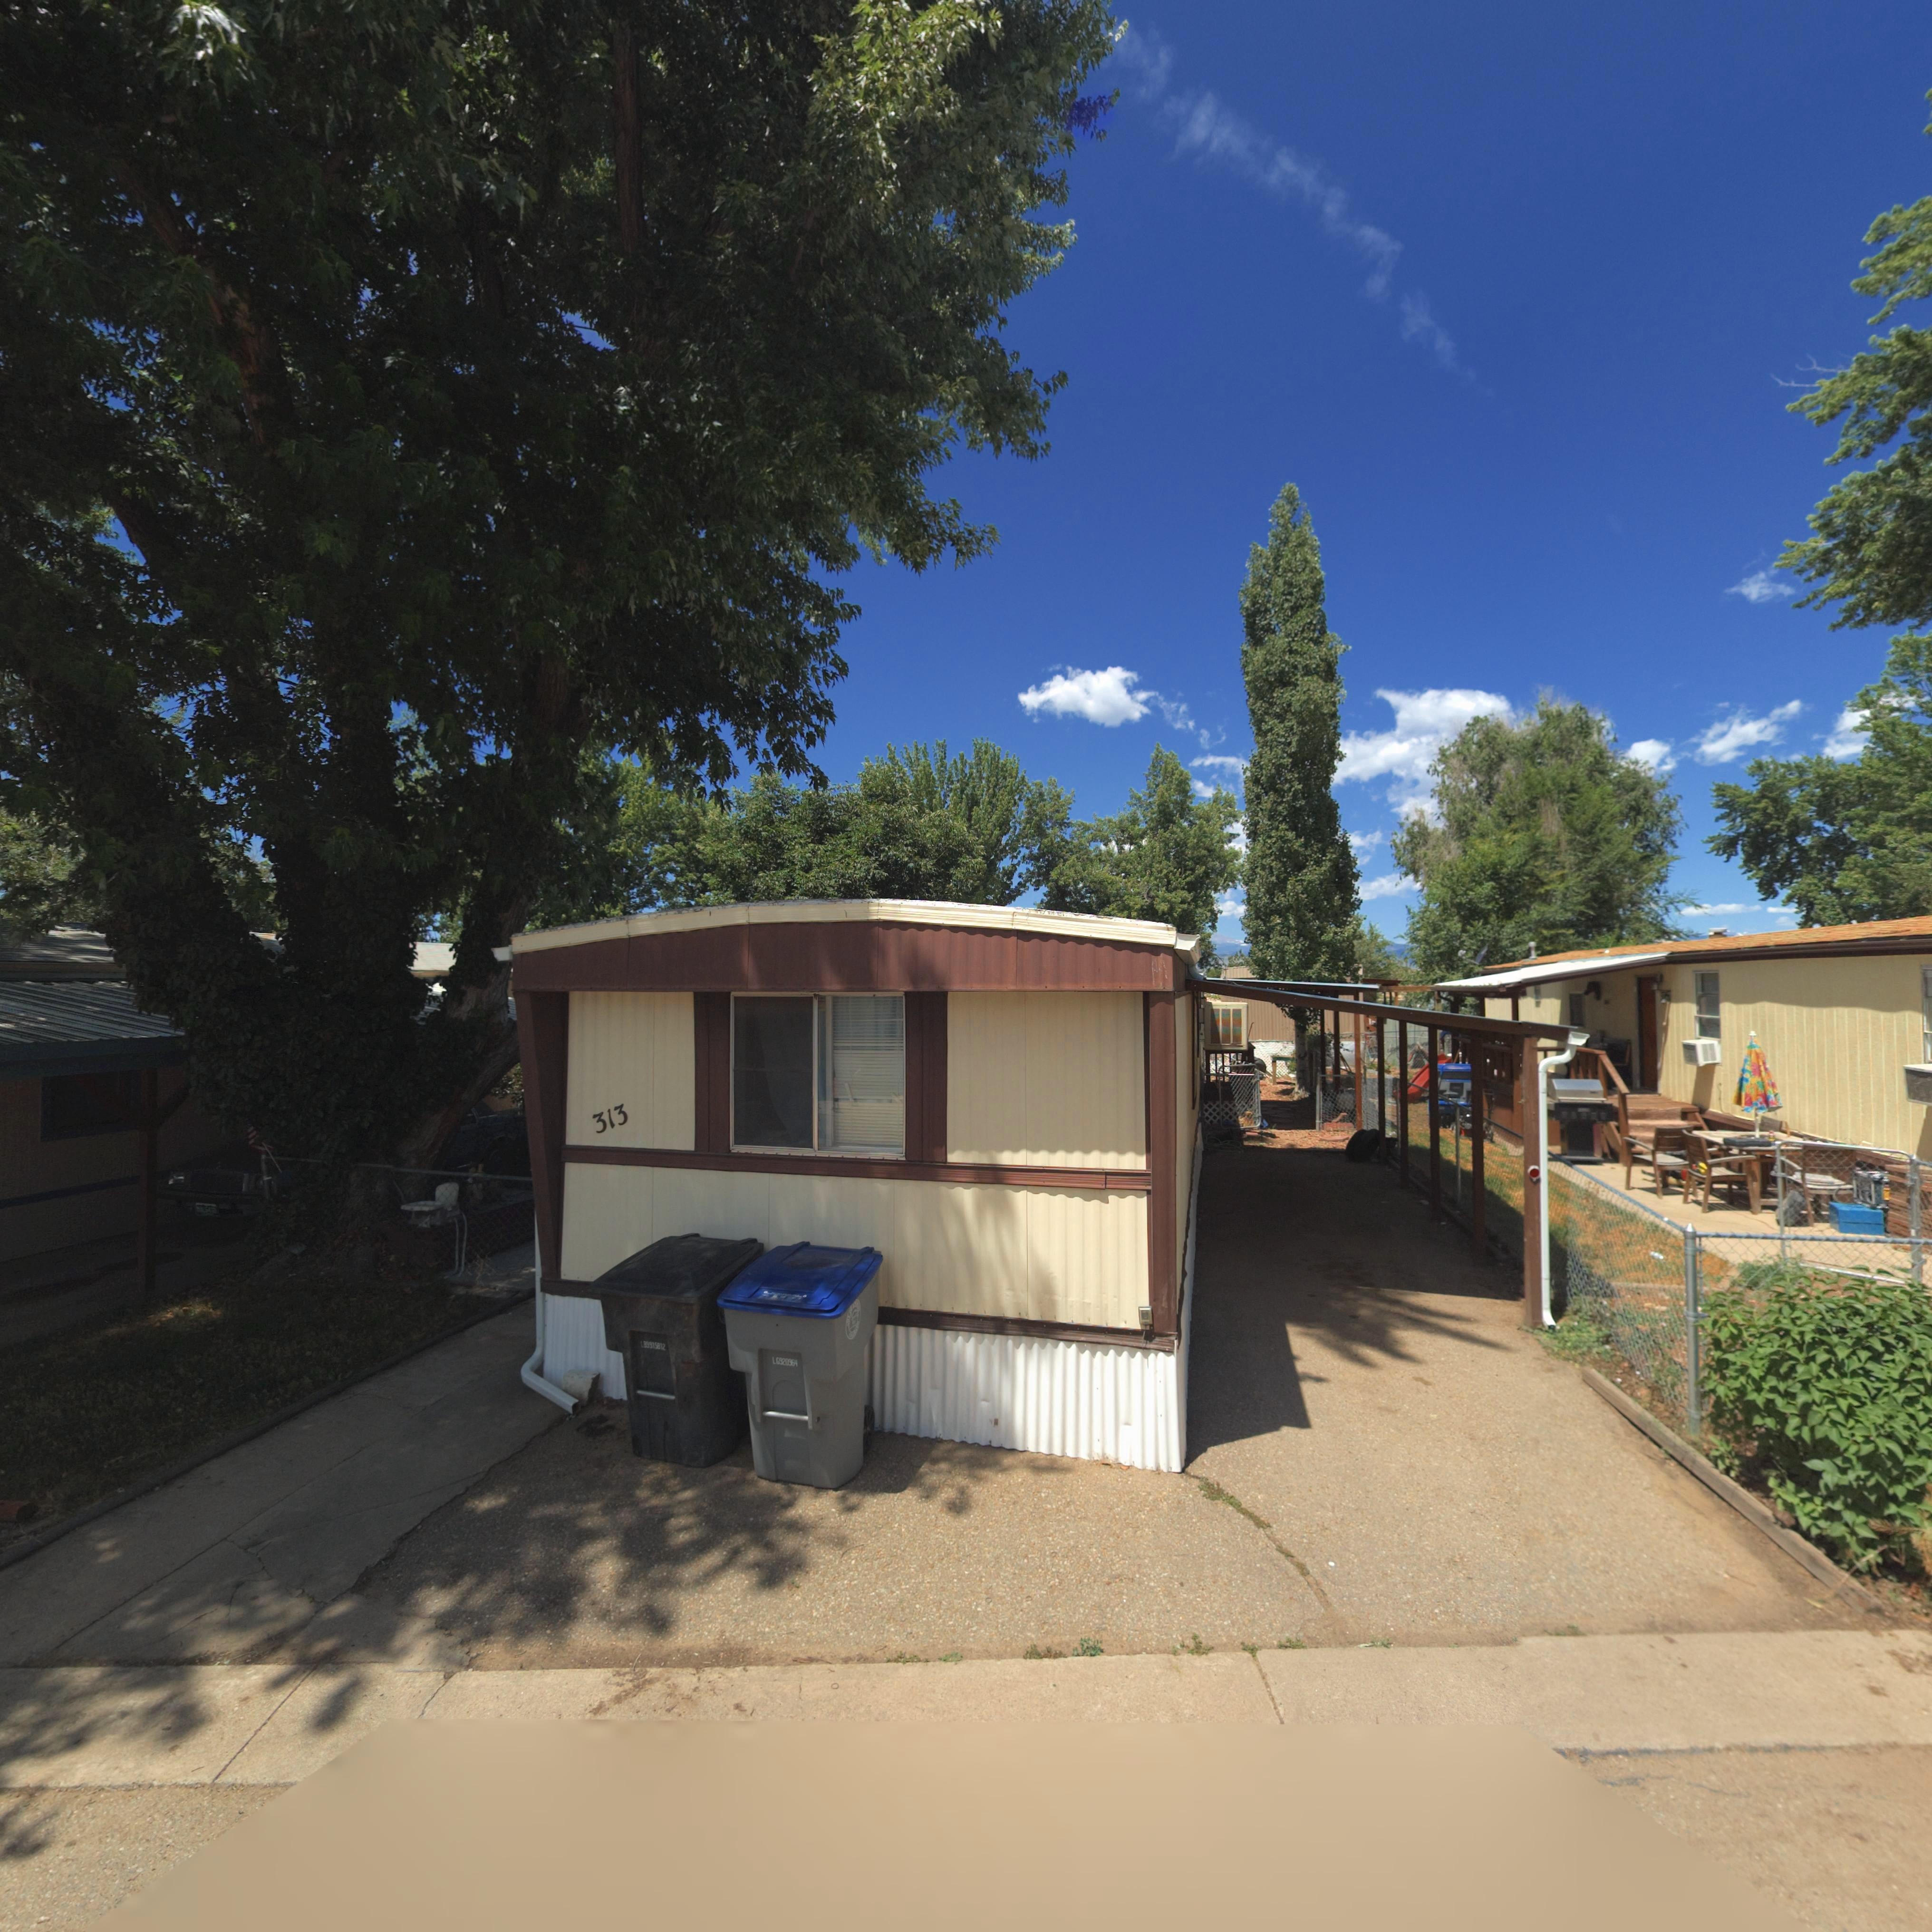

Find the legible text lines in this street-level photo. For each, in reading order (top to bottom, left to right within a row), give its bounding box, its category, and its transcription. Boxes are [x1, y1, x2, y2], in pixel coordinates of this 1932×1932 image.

[591, 1102, 628, 1133] StreetNumber: 313